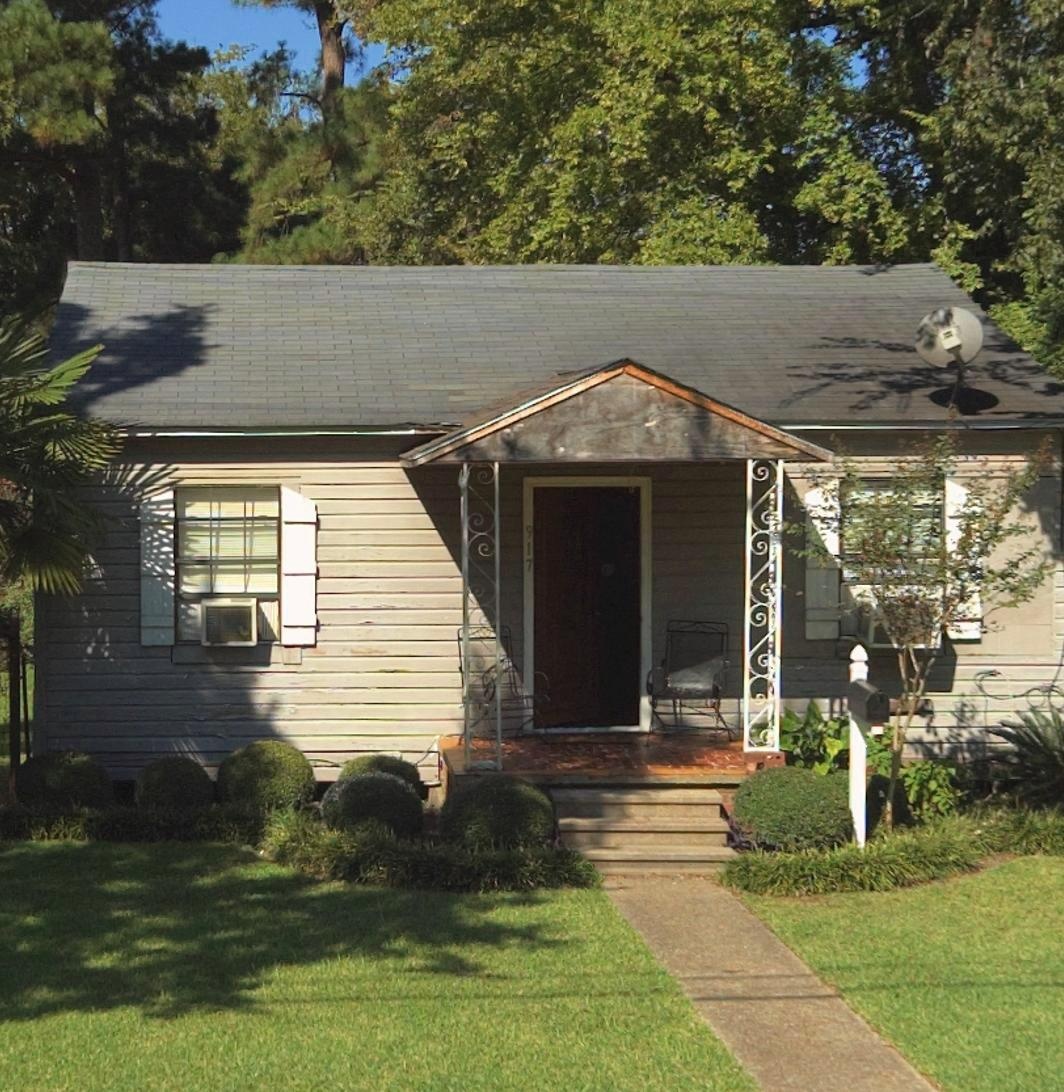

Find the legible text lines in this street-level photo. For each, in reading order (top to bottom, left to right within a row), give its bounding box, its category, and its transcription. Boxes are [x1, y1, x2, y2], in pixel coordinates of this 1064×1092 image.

[525, 524, 533, 573] StreetNumber: 917